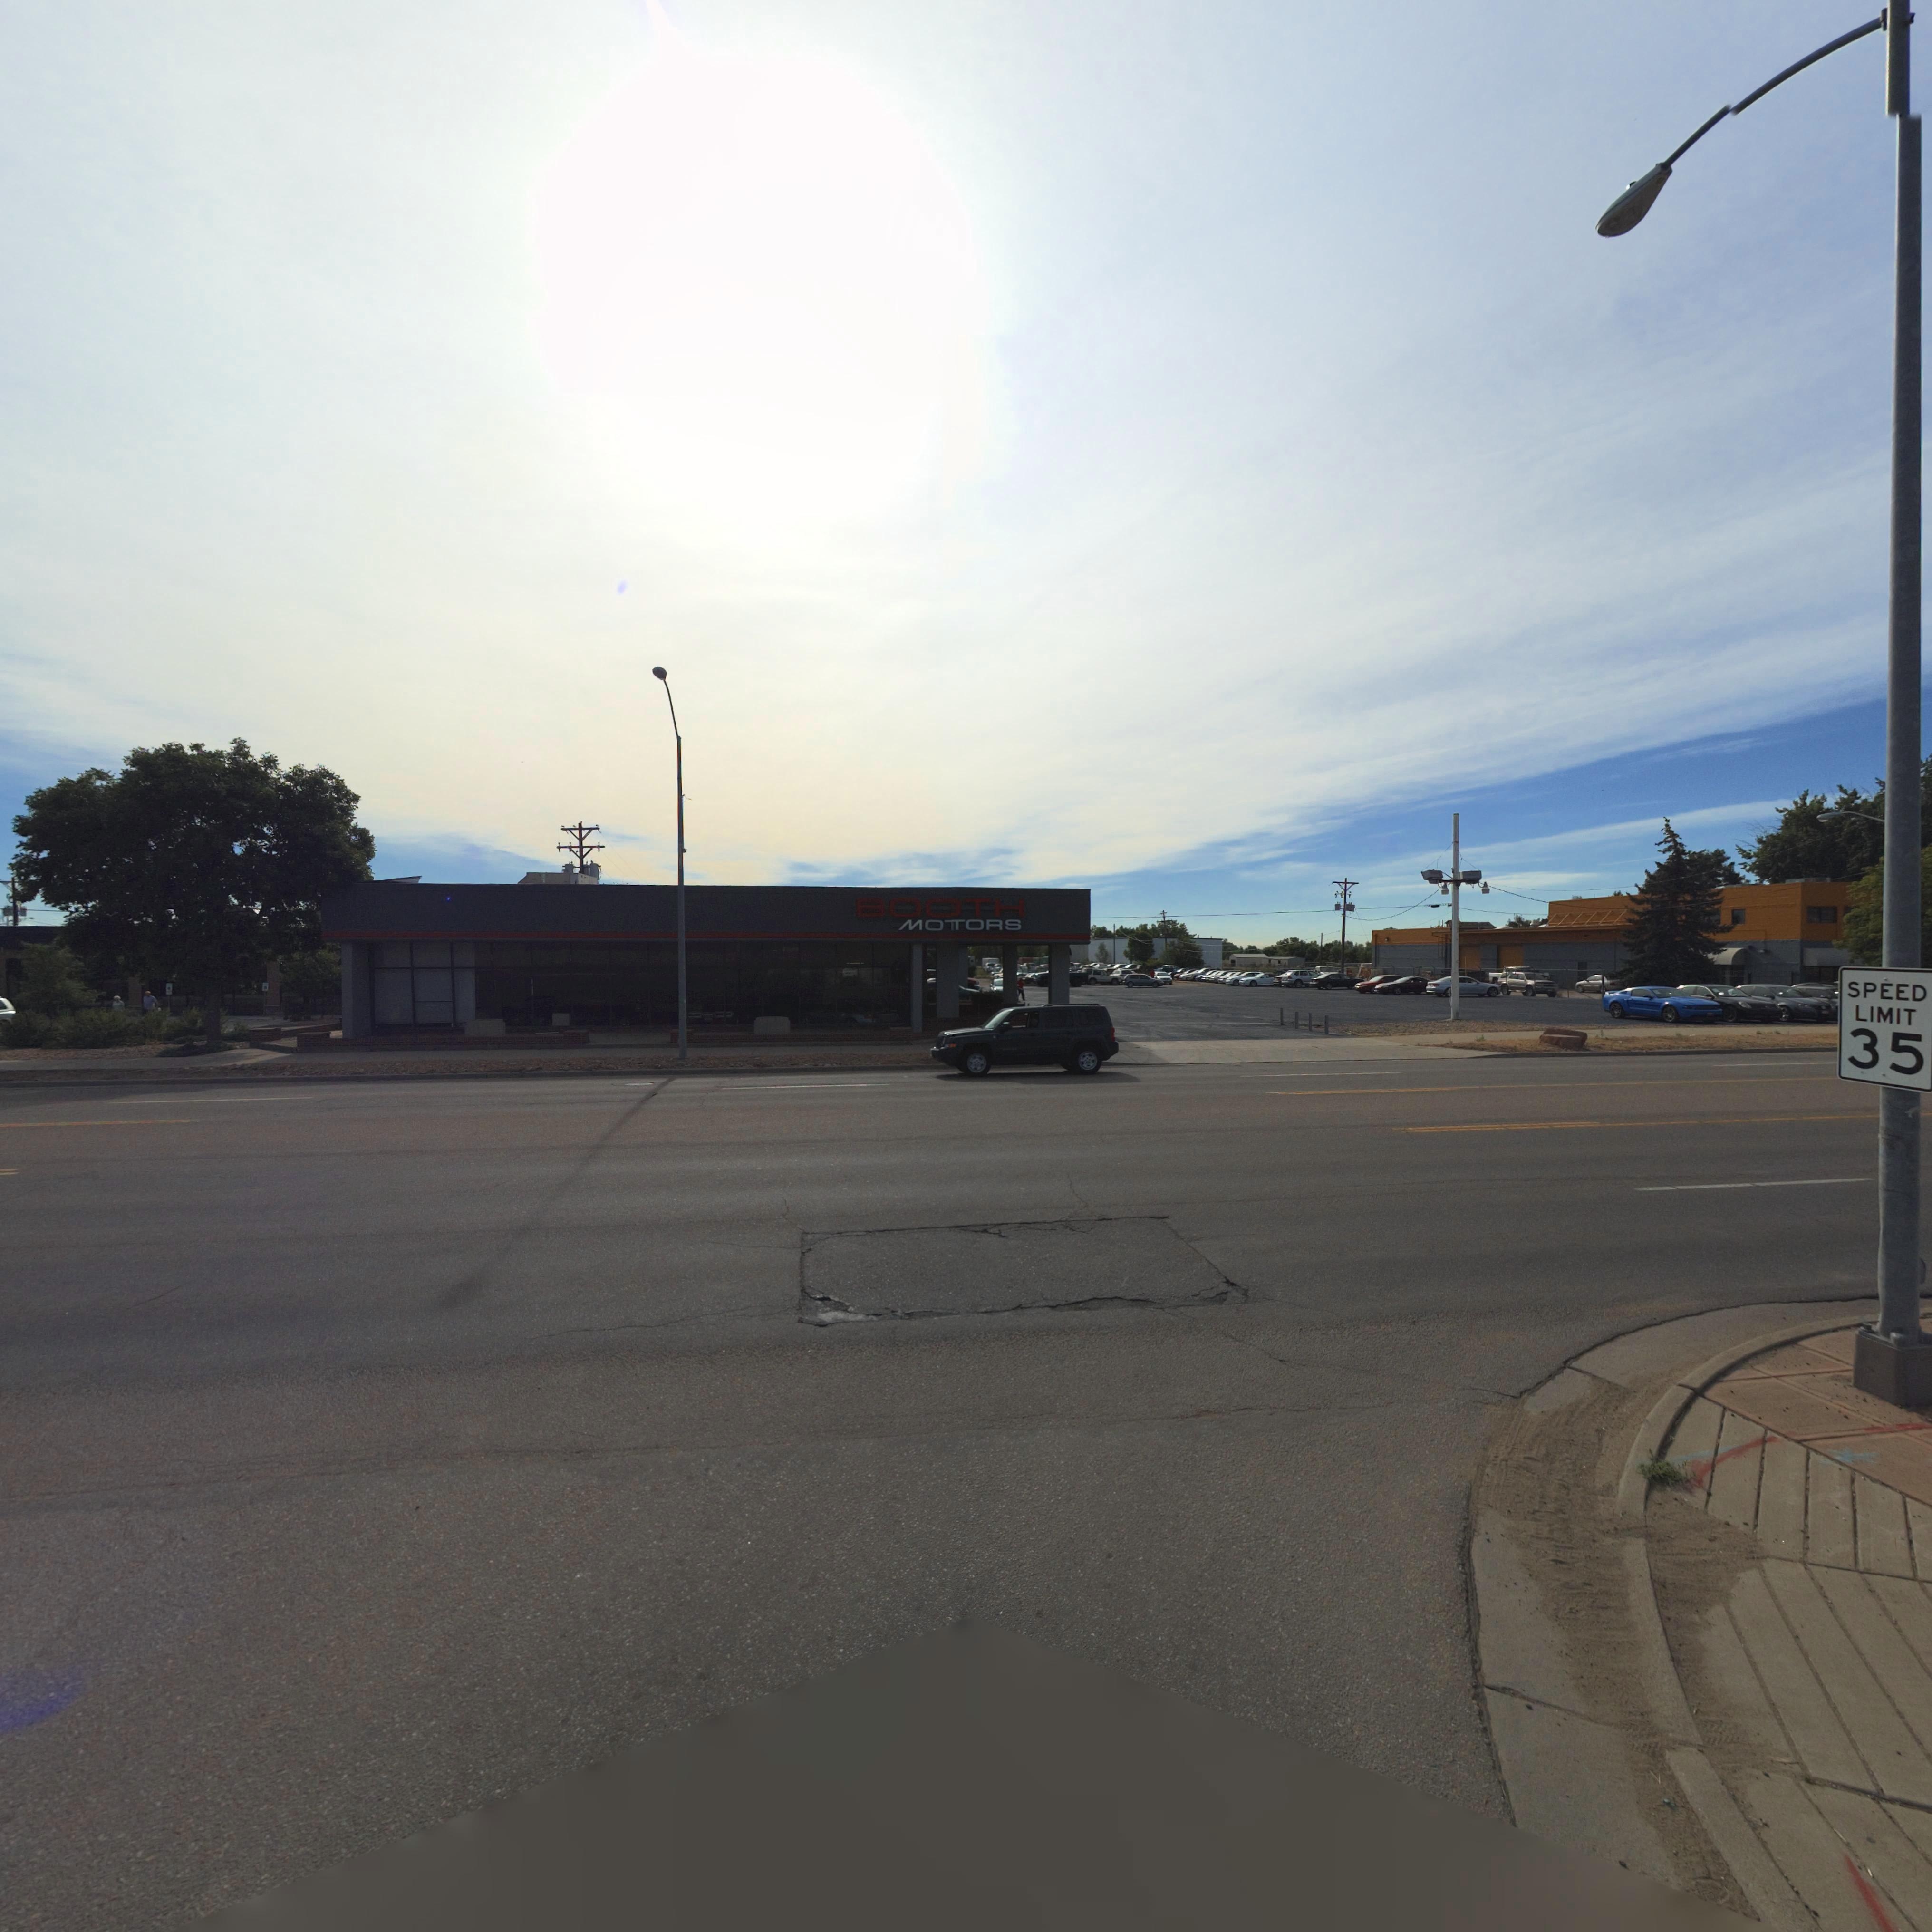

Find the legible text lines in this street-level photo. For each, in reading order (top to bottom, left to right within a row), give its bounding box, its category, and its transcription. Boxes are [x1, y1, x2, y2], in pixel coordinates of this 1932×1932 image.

[854, 896, 1025, 919] BusinessName: BOOTH
[898, 918, 1022, 930] BusinessName: MO*TORS
[1847, 980, 1928, 1003] None:  b*